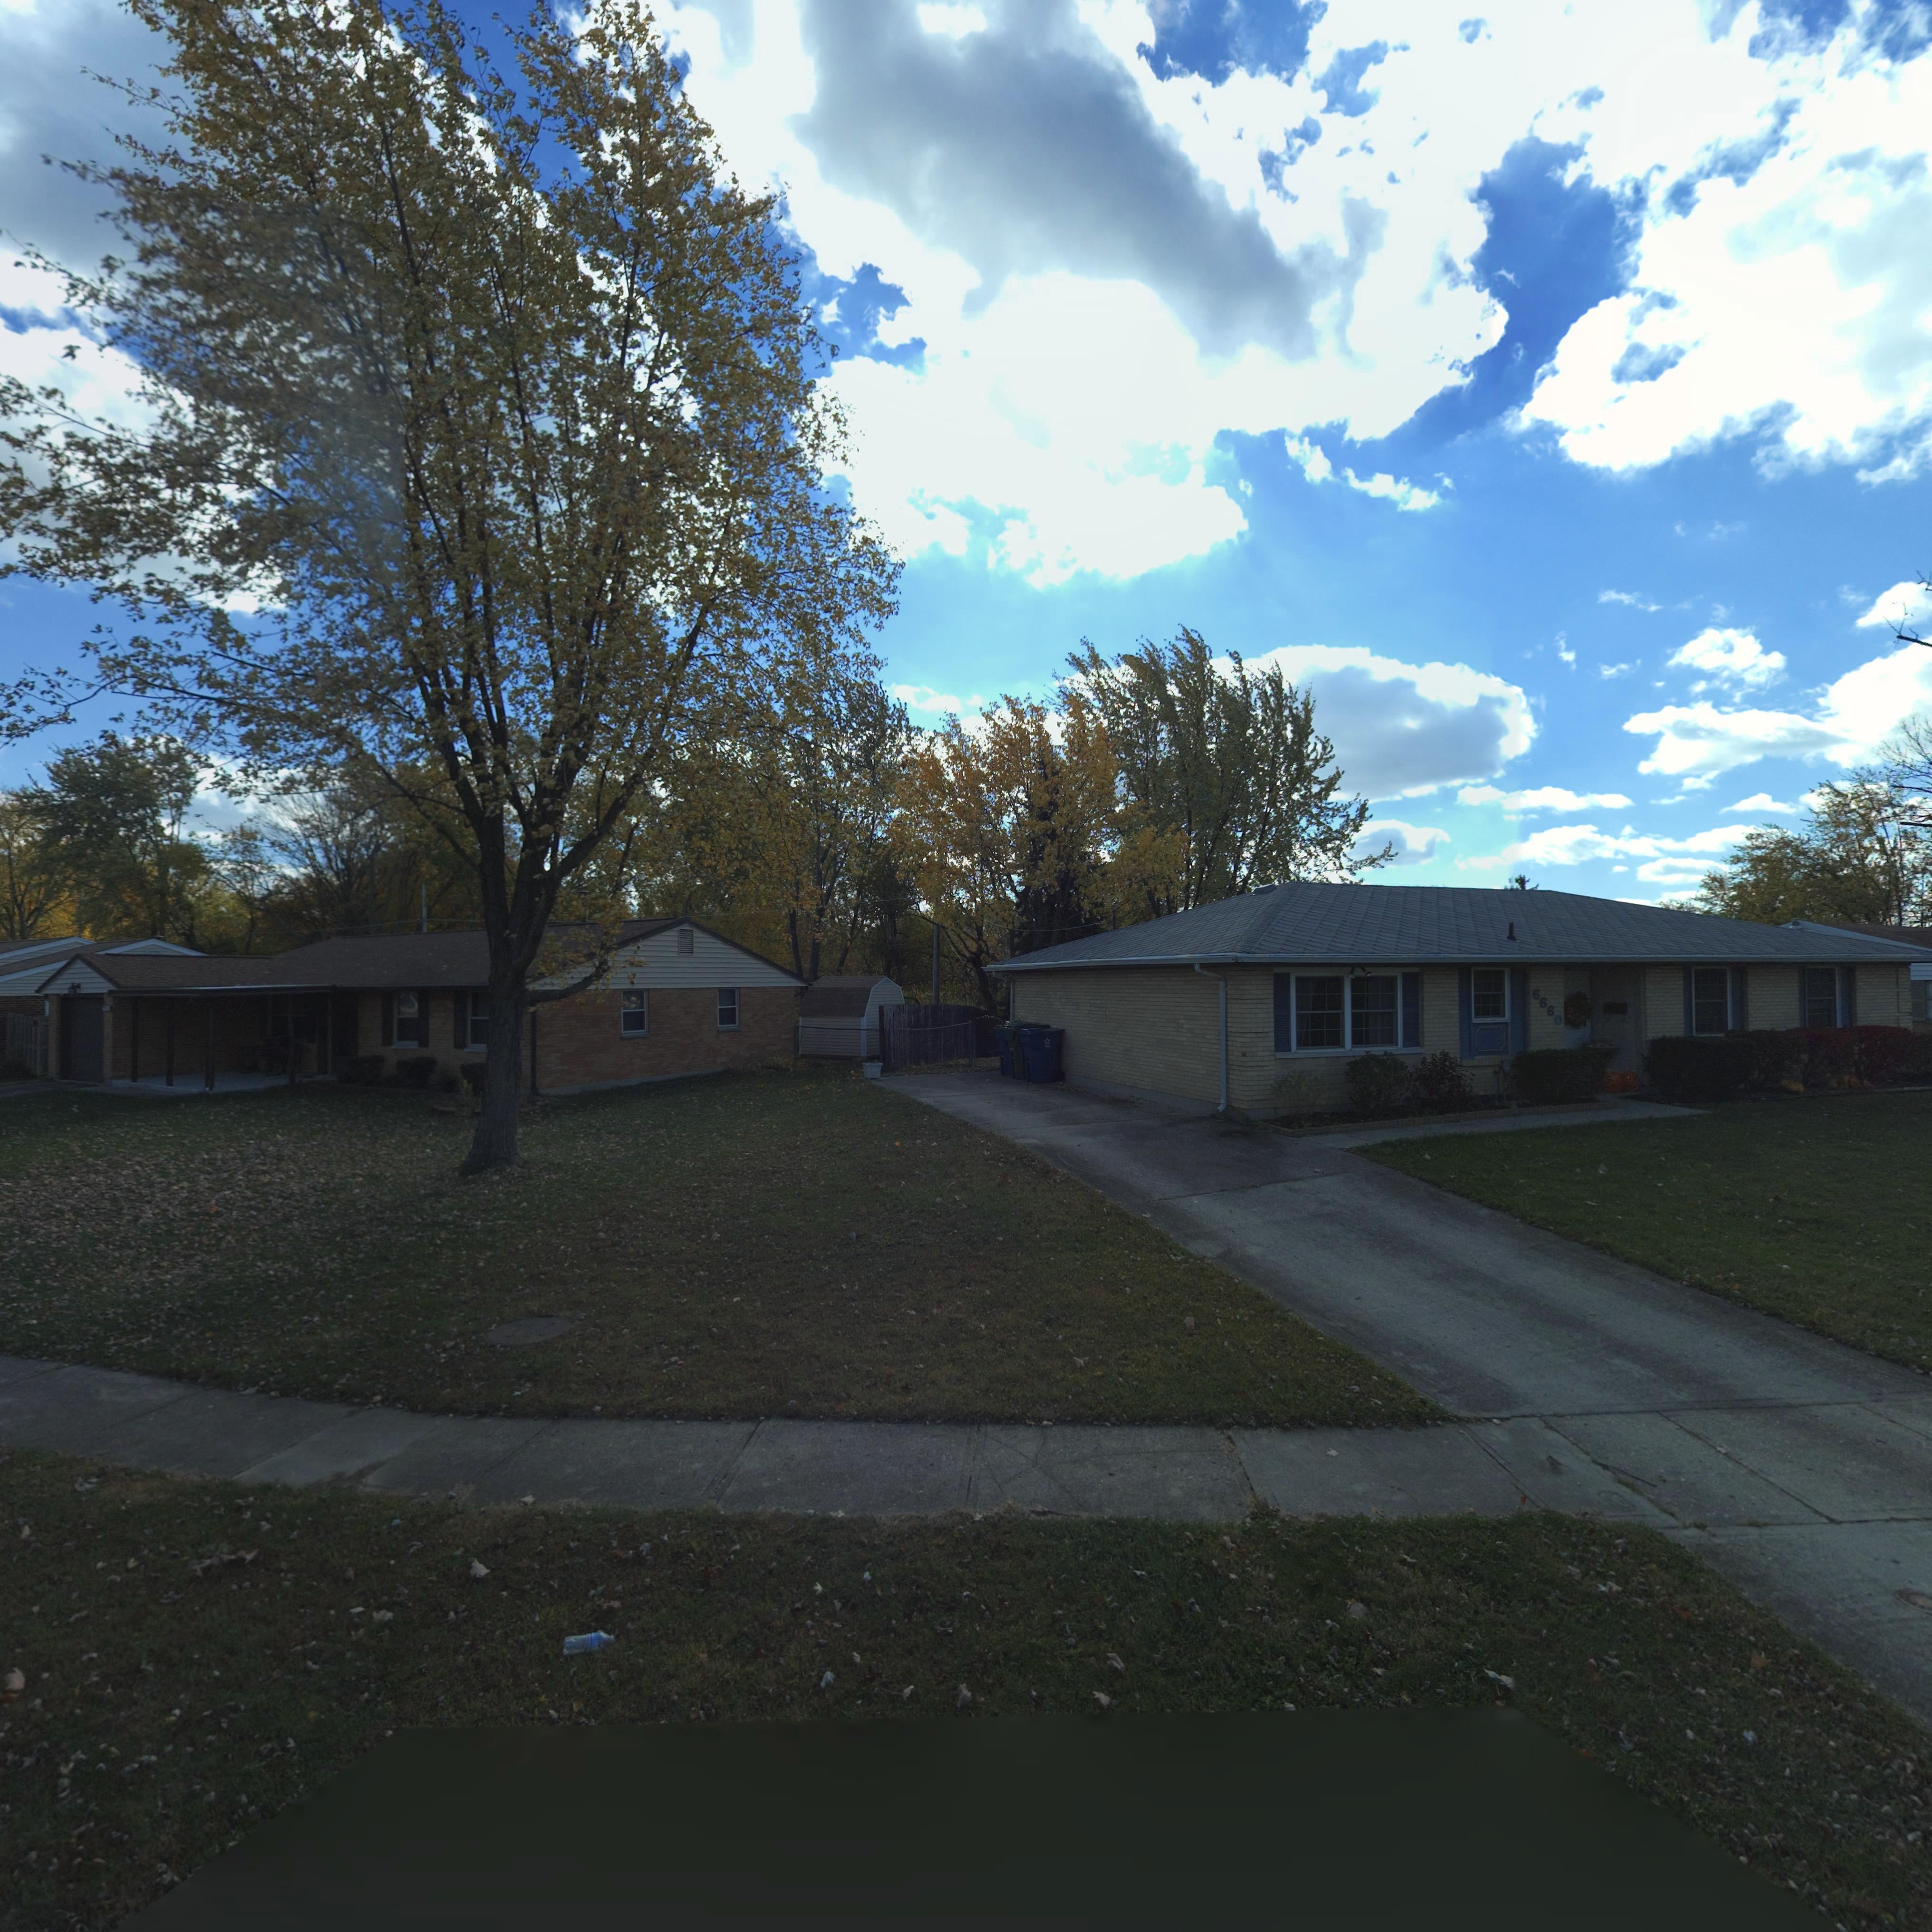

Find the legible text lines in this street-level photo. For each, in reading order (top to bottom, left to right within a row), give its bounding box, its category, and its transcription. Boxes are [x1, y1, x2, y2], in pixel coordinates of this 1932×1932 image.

[1532, 987, 1562, 1026] StreetNumber: 6660